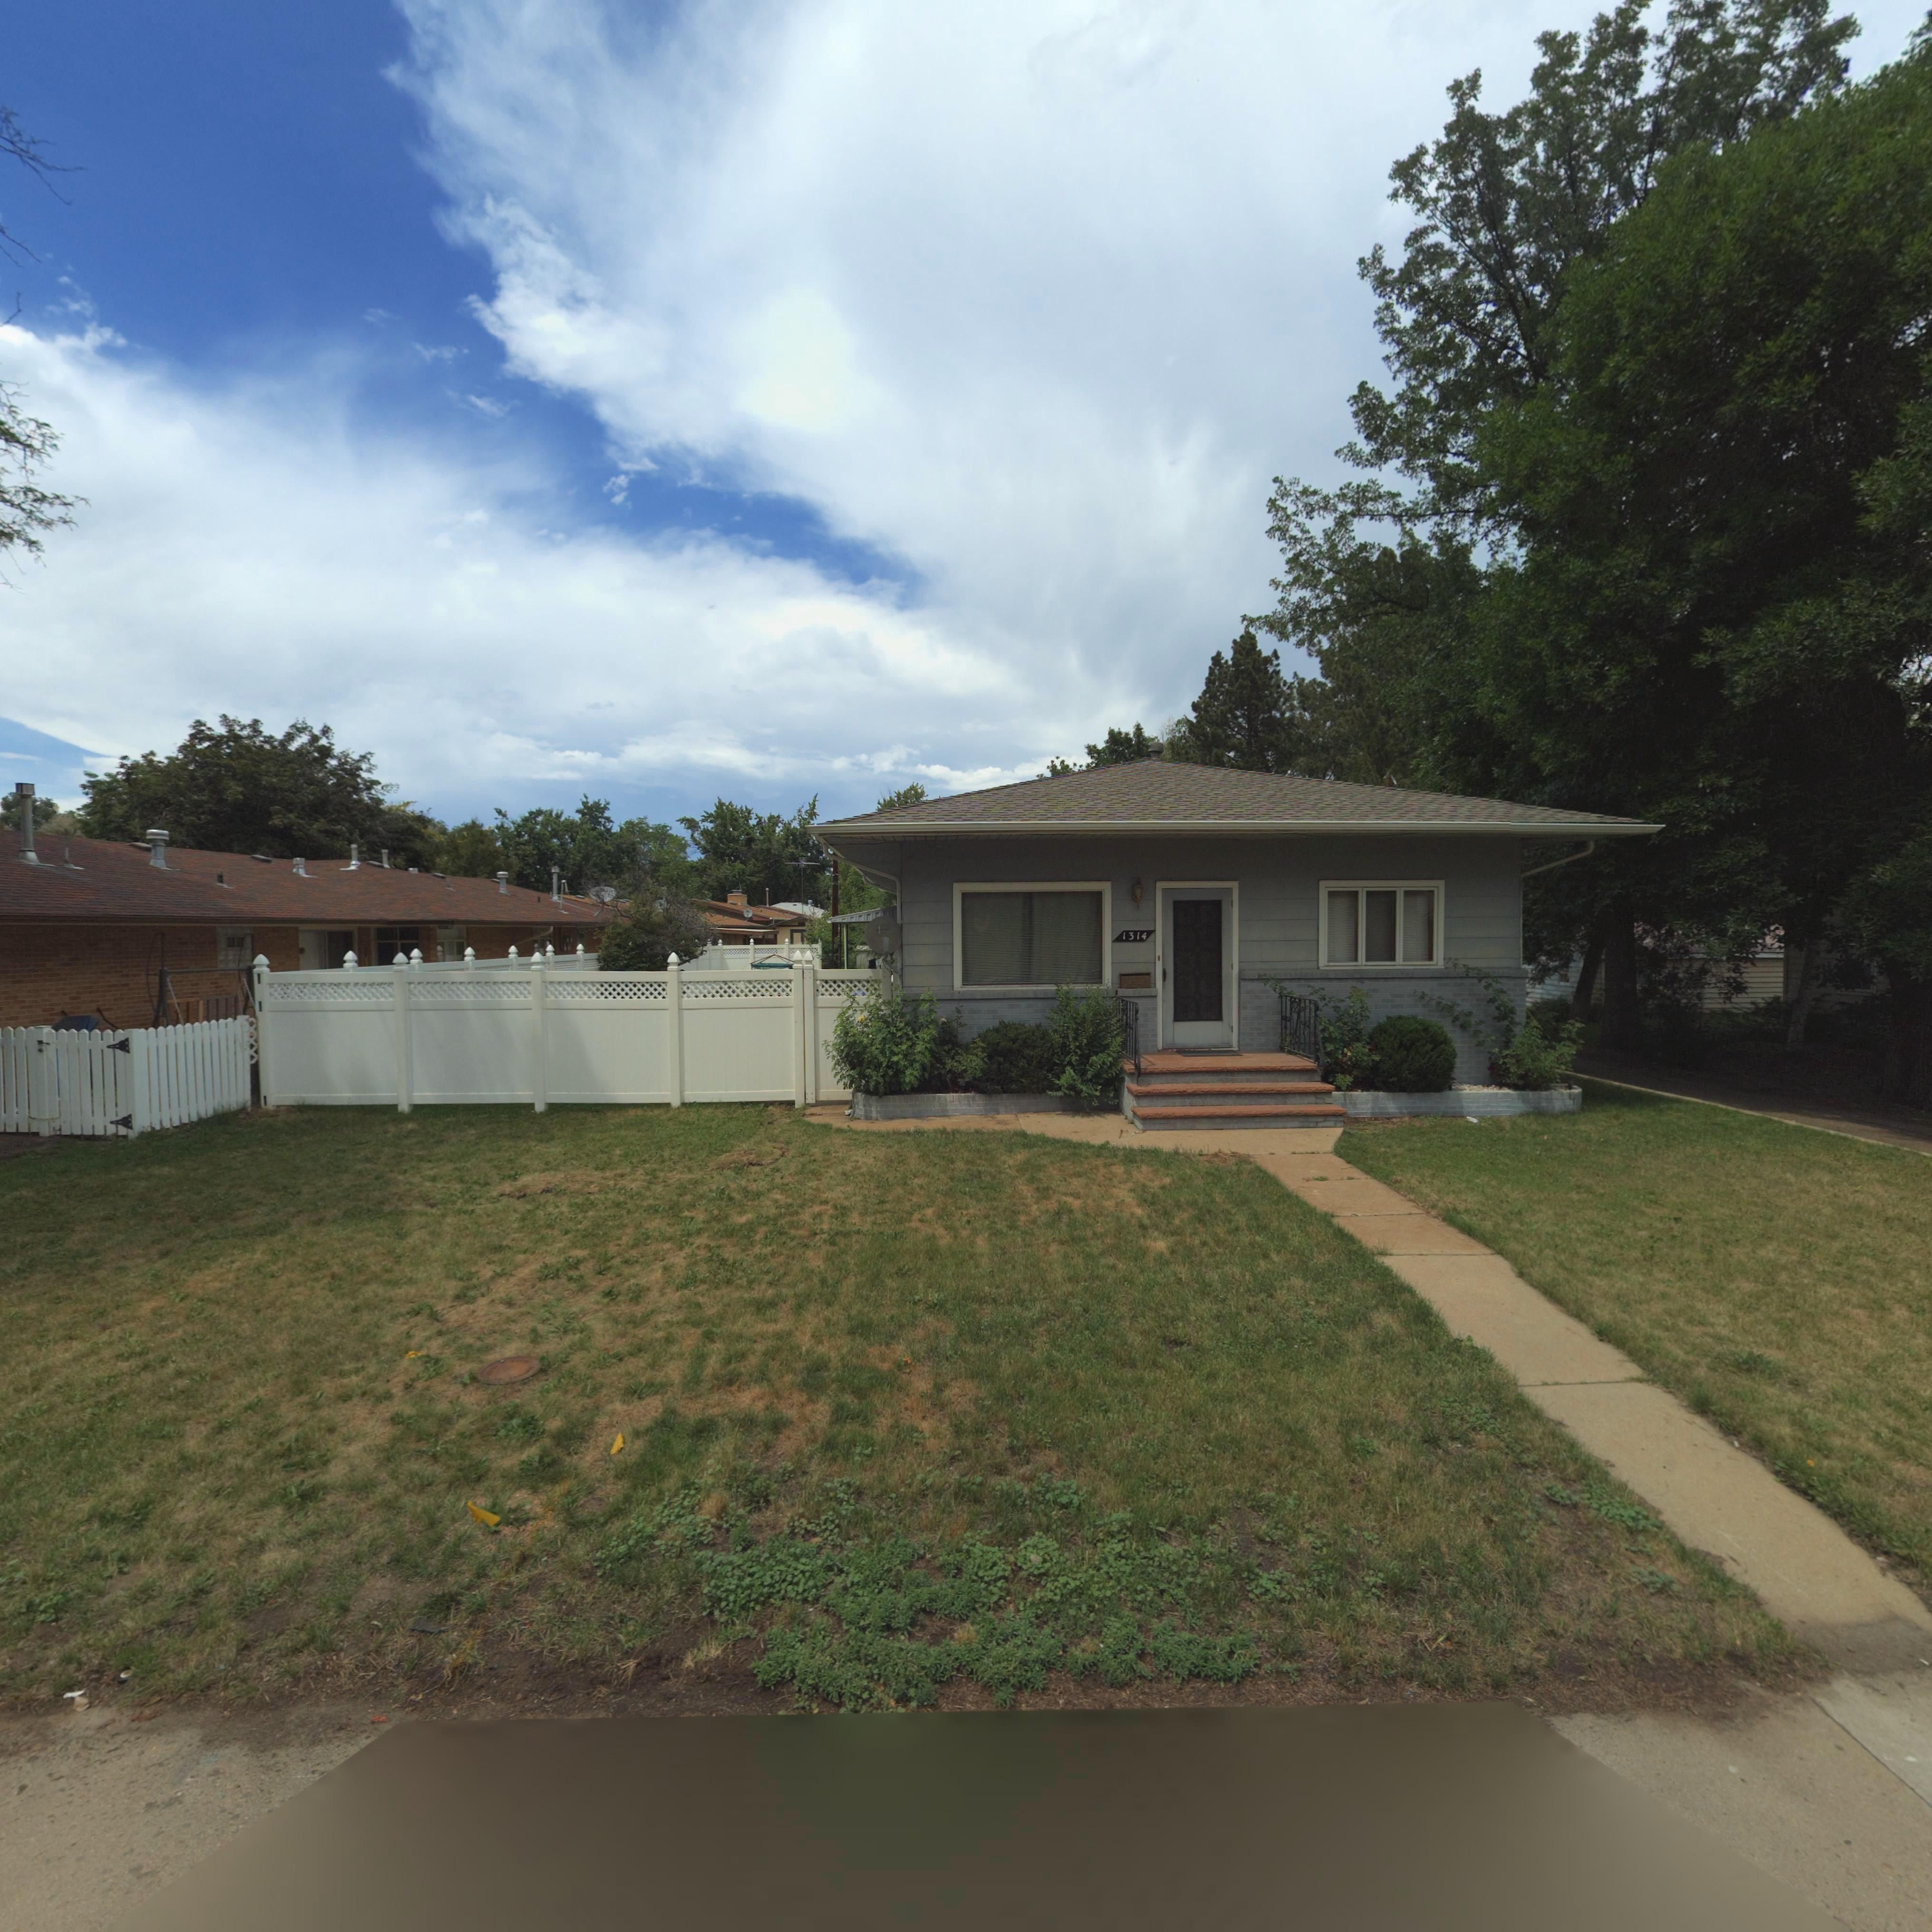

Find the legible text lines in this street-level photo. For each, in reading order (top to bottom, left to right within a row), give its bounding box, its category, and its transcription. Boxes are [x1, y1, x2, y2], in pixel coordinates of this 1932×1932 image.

[1122, 931, 1147, 940] StreetNumber: 1314